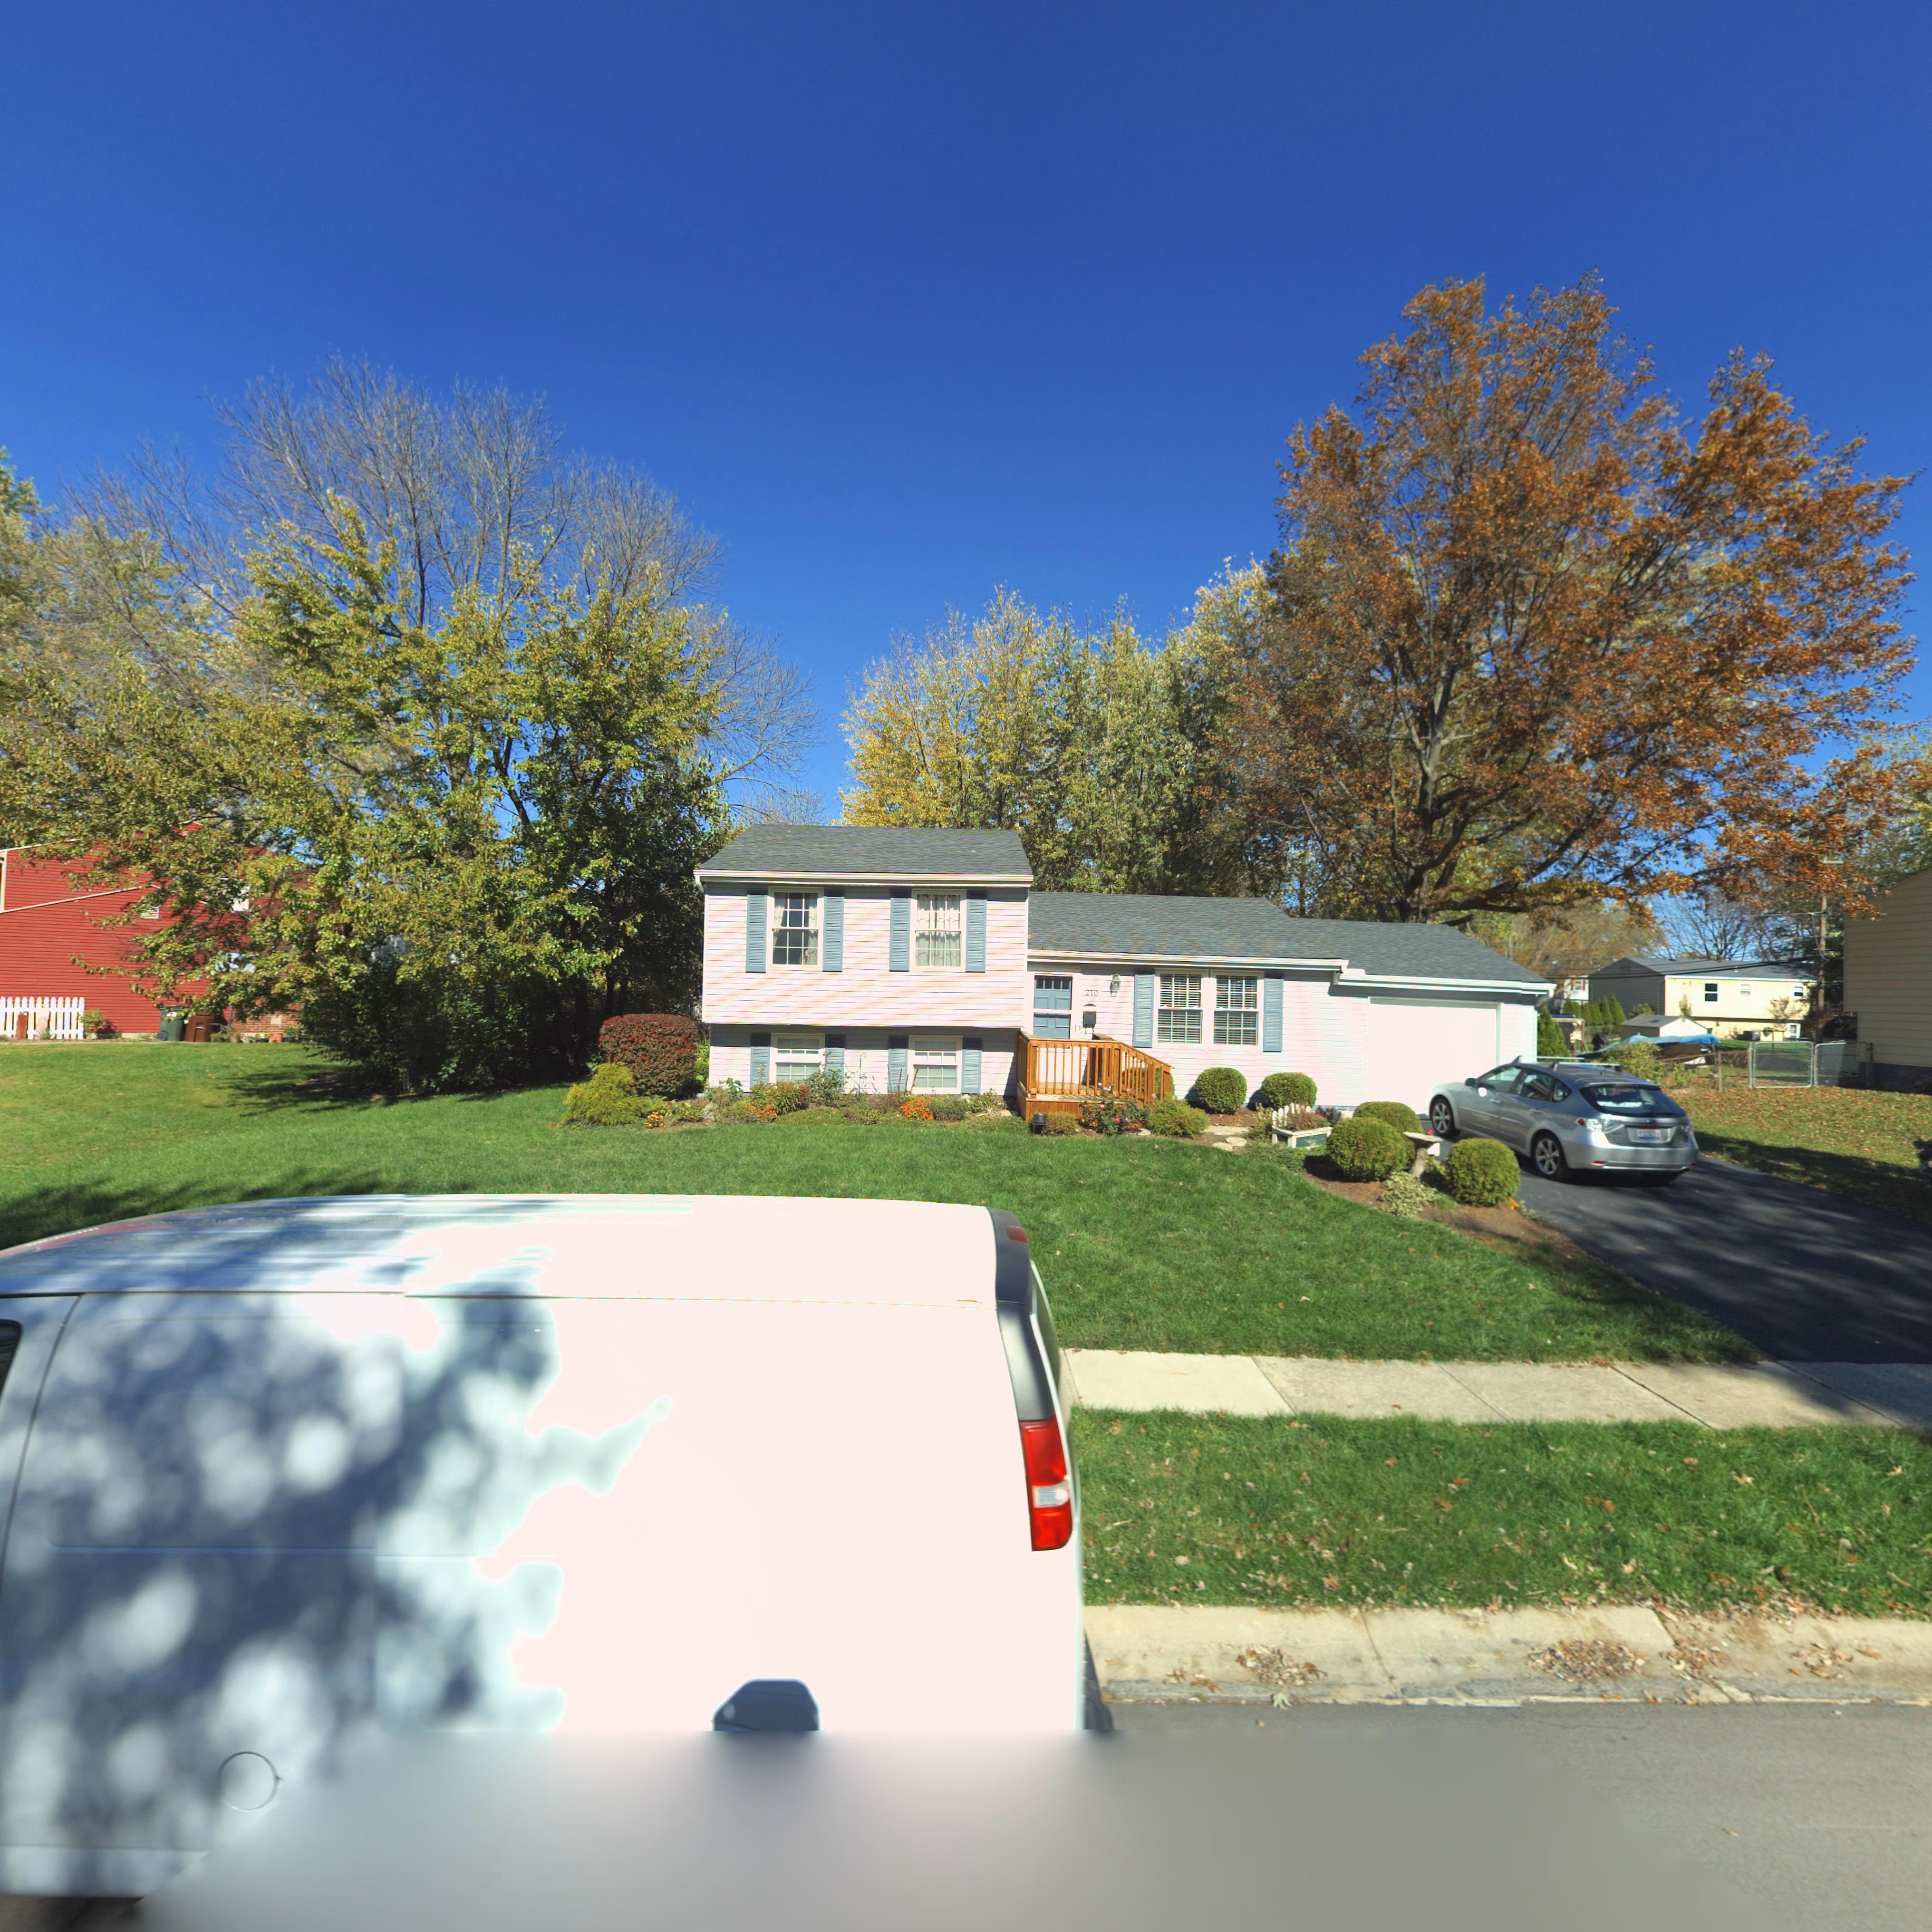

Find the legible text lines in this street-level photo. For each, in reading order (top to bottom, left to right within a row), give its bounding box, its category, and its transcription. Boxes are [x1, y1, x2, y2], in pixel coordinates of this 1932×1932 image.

[1084, 988, 1099, 997] StreetNumber: 210